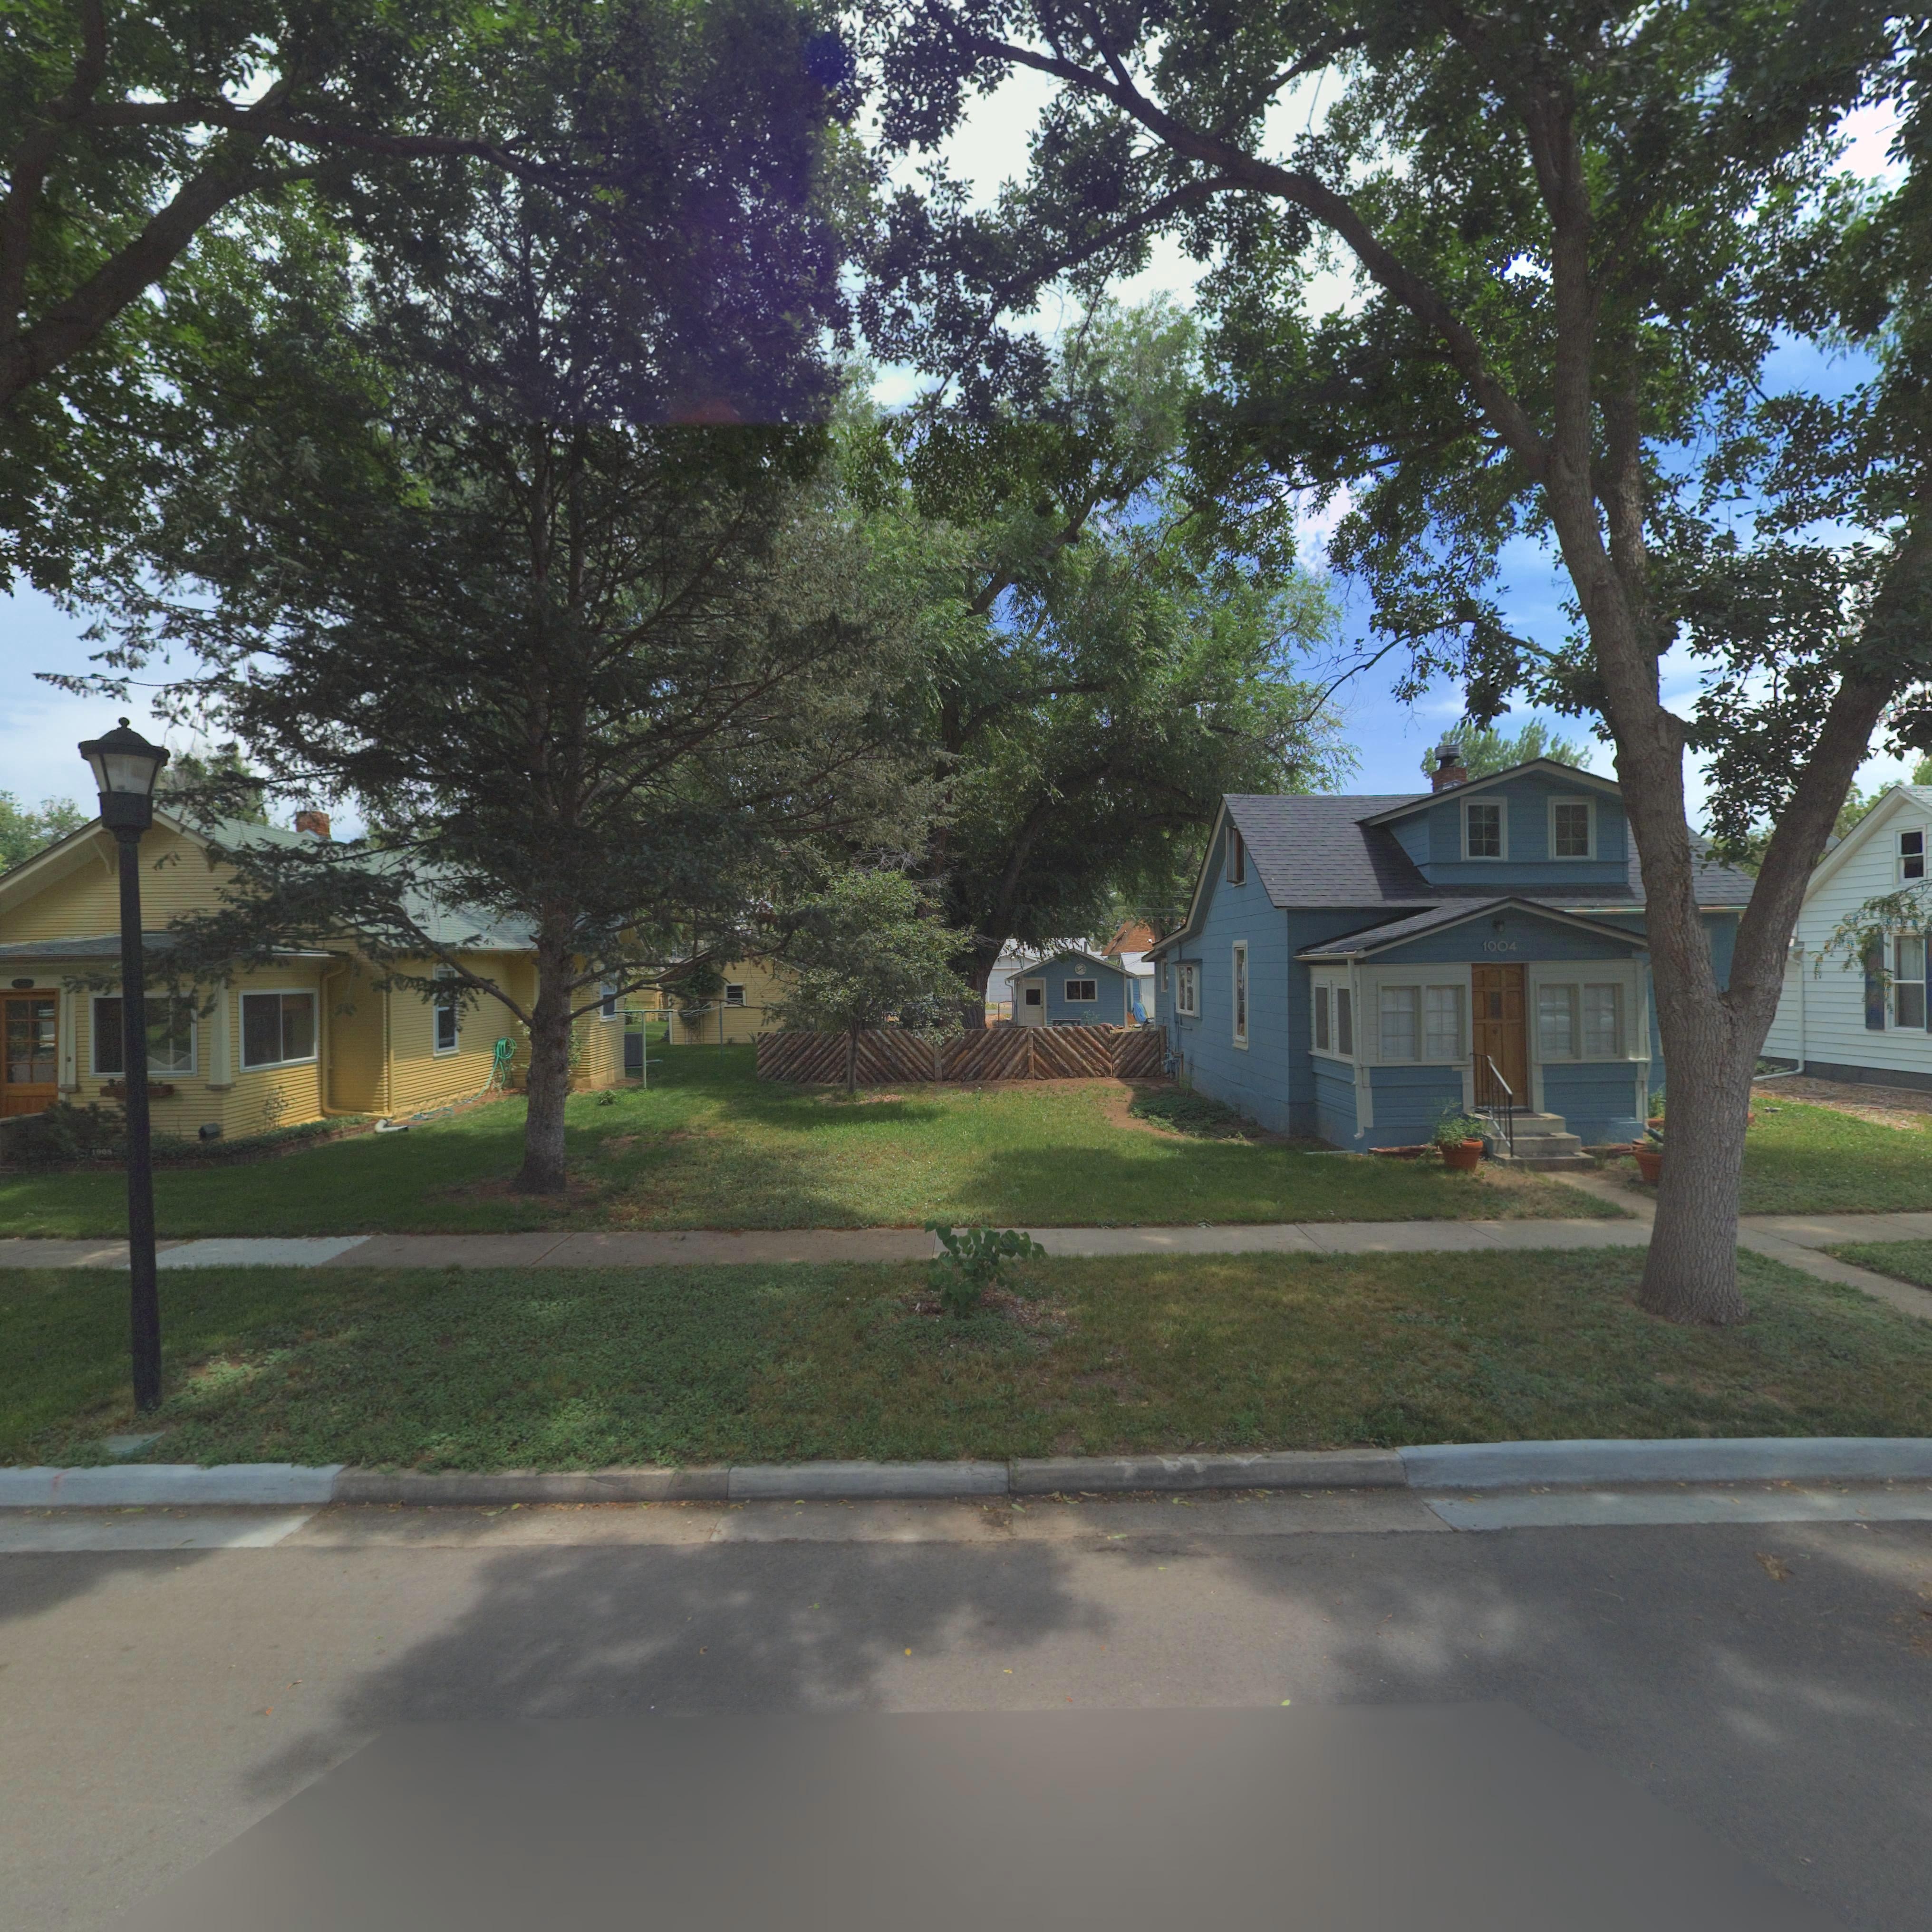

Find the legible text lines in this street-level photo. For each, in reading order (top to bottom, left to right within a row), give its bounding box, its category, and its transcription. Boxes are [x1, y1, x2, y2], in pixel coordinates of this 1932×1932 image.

[1481, 939, 1517, 952] StreetNumber: 1004
[90, 1147, 113, 1156] StreetNumber: 1009